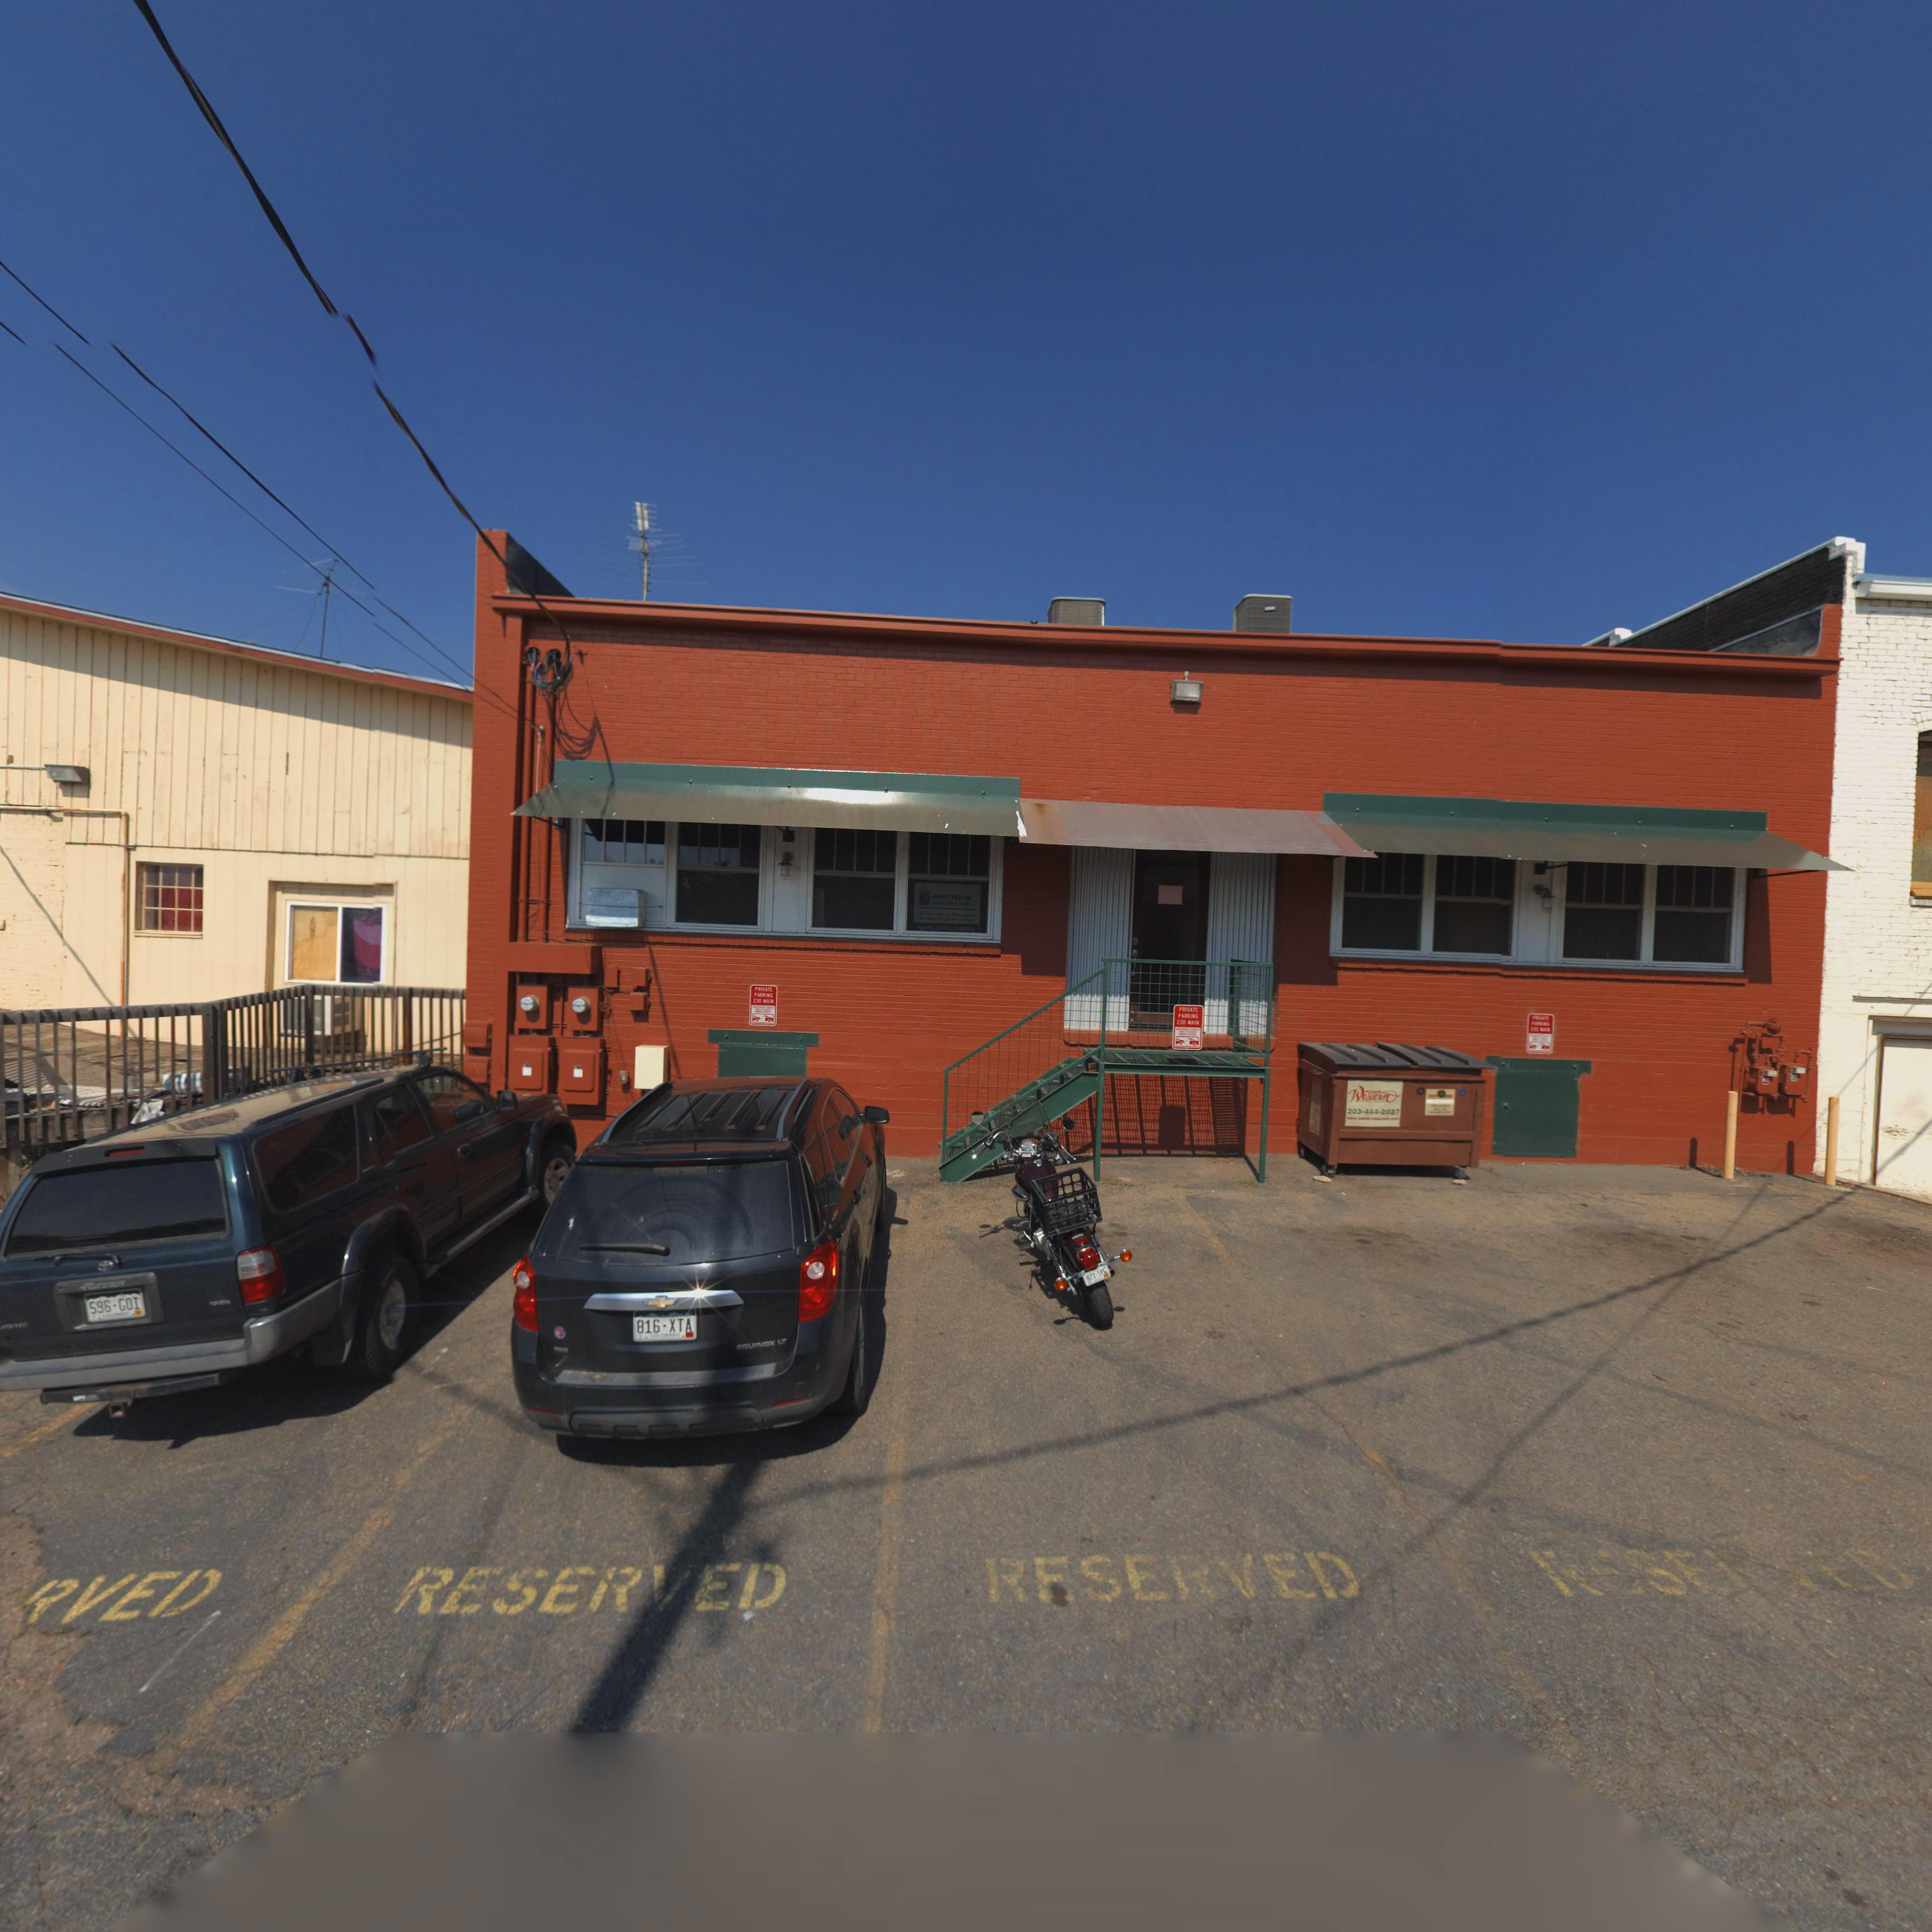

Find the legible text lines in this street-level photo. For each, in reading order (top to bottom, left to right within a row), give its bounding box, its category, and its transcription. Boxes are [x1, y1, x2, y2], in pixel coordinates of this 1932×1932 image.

[933, 893, 971, 901] BusinessName: PRECISION
[931, 900, 969, 906] BusinessName: CONSTRUCTION
[753, 997, 762, 1003] StreetName: 230
[763, 998, 774, 1004] StreetName: MAIN
[1177, 1019, 1186, 1024] StreetNumber: 230
[1187, 1019, 1199, 1025] StreetName: MAIN